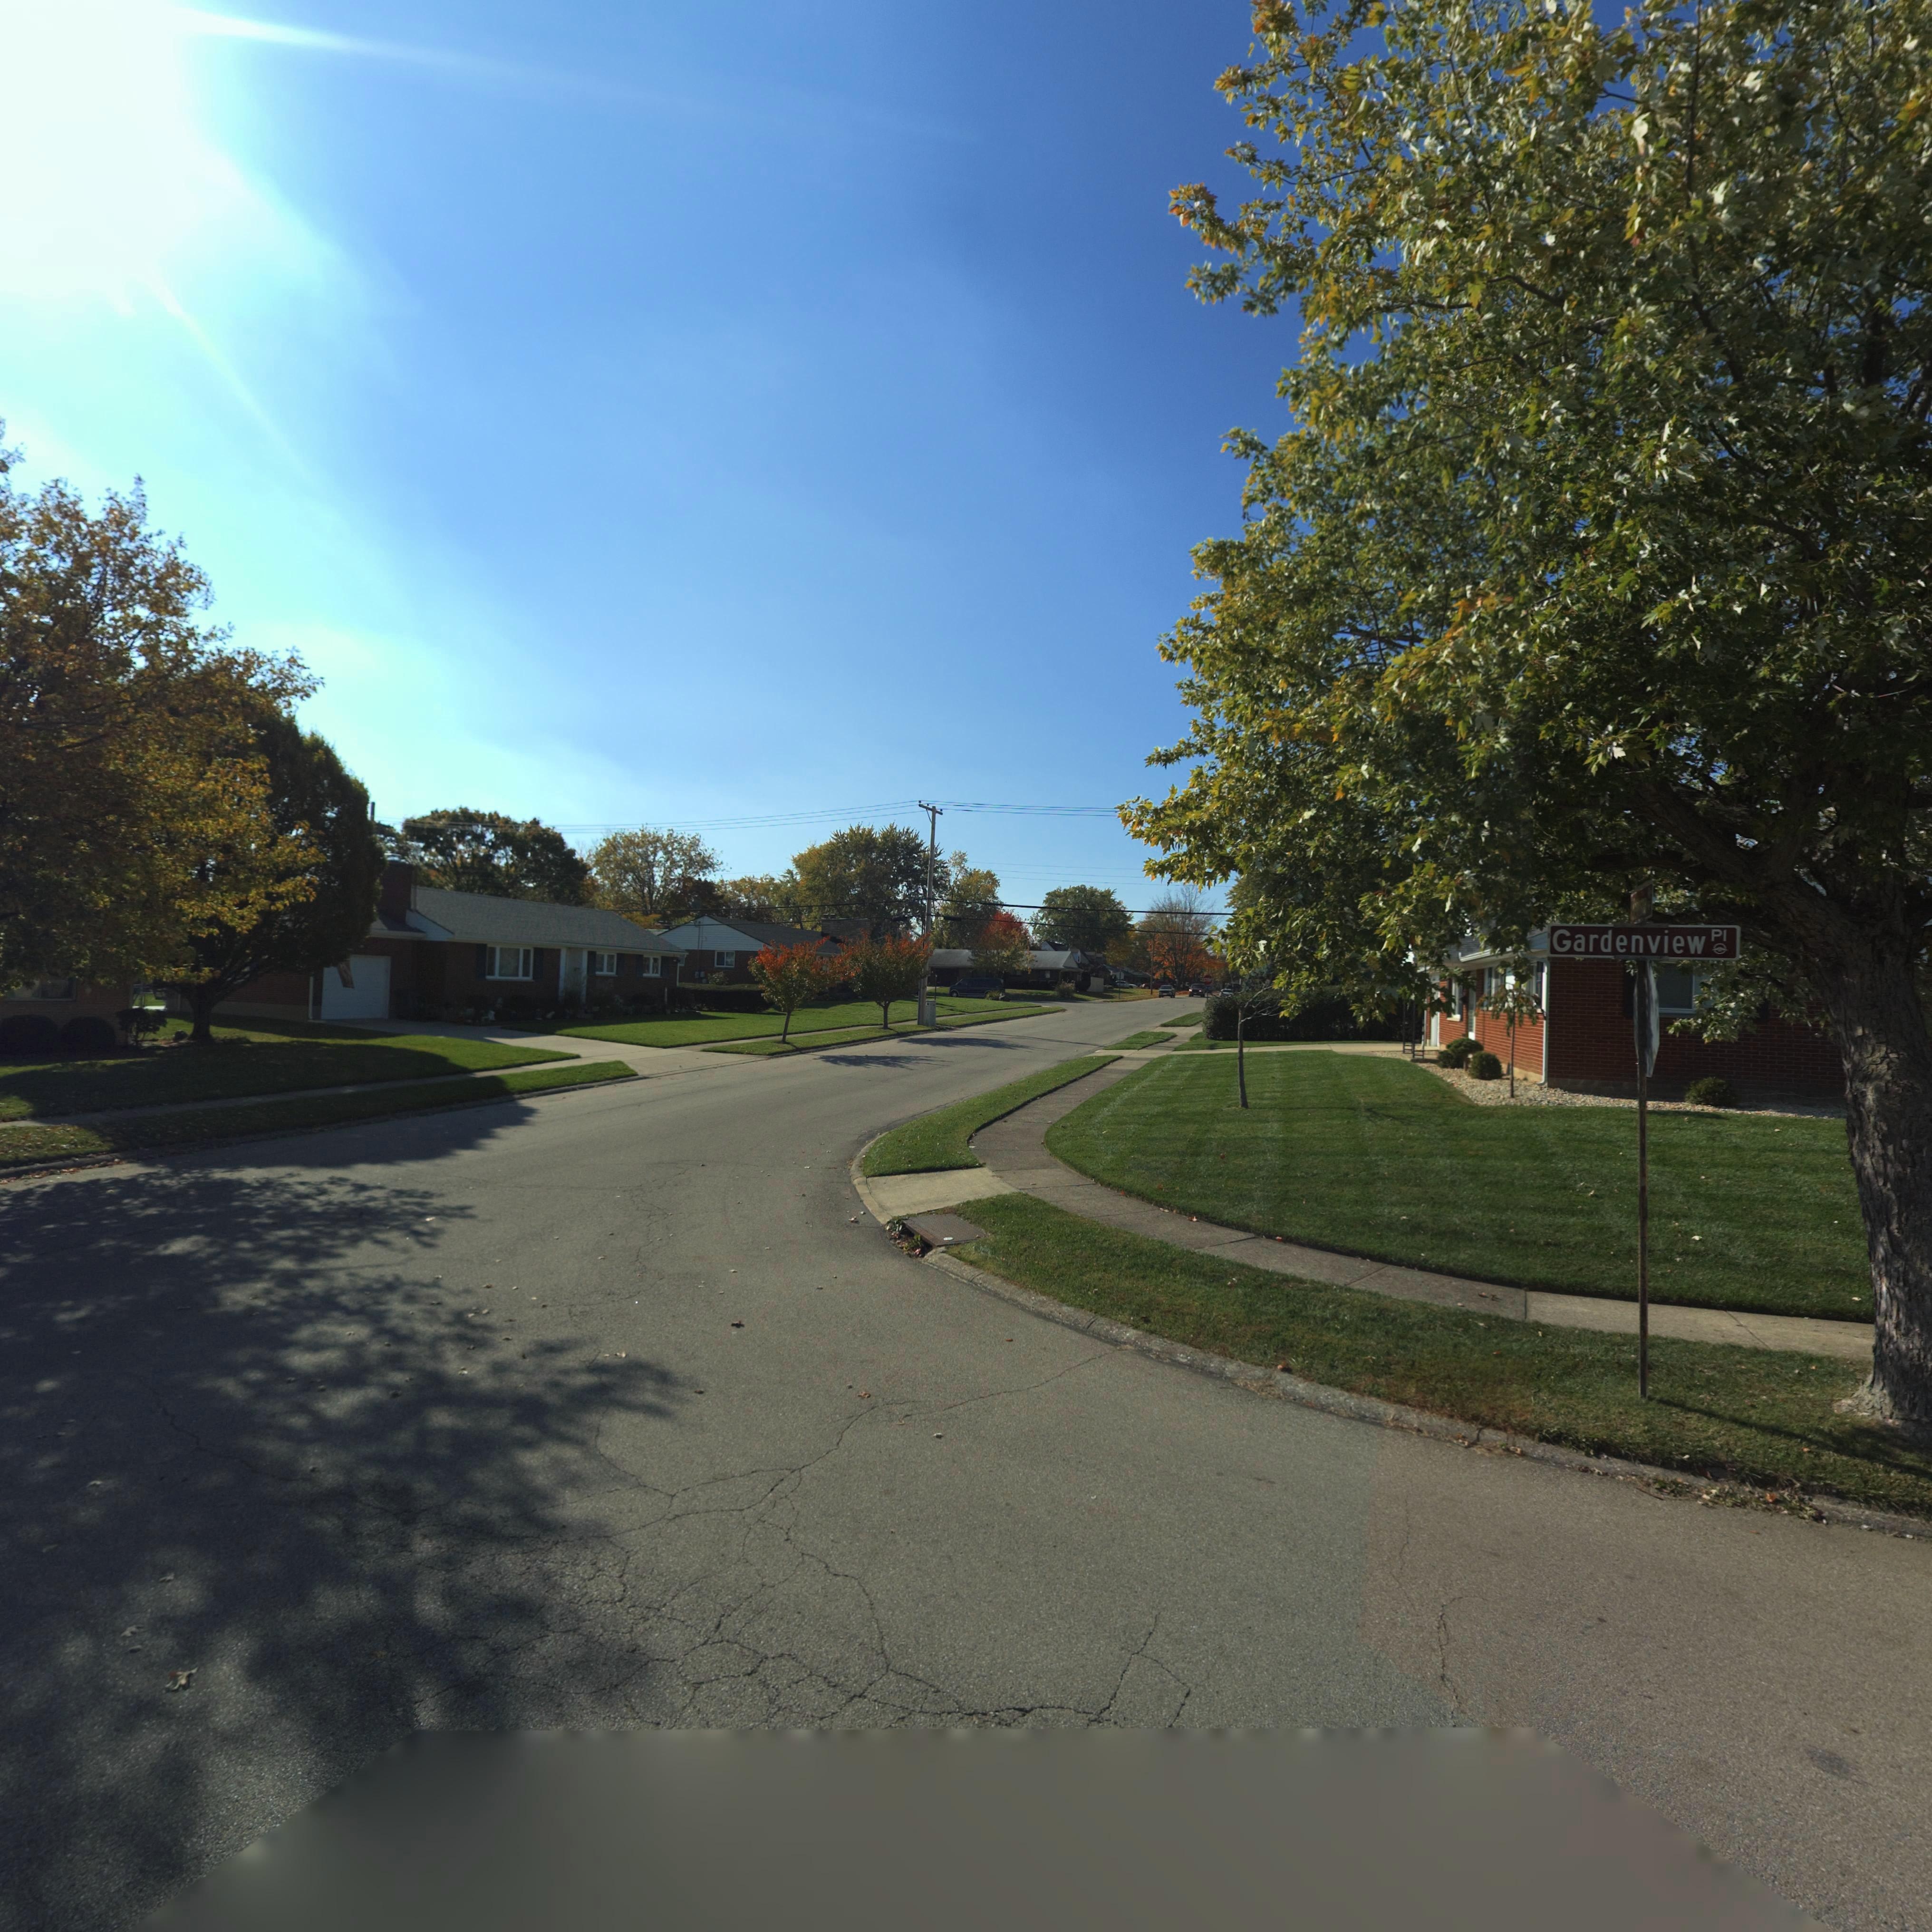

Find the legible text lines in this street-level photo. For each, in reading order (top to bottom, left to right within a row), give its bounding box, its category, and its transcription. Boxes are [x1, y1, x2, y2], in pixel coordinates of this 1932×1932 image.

[1552, 928, 1729, 955] StreetName: Gardenview Pl
[1203, 978, 1212, 982] None: STOP